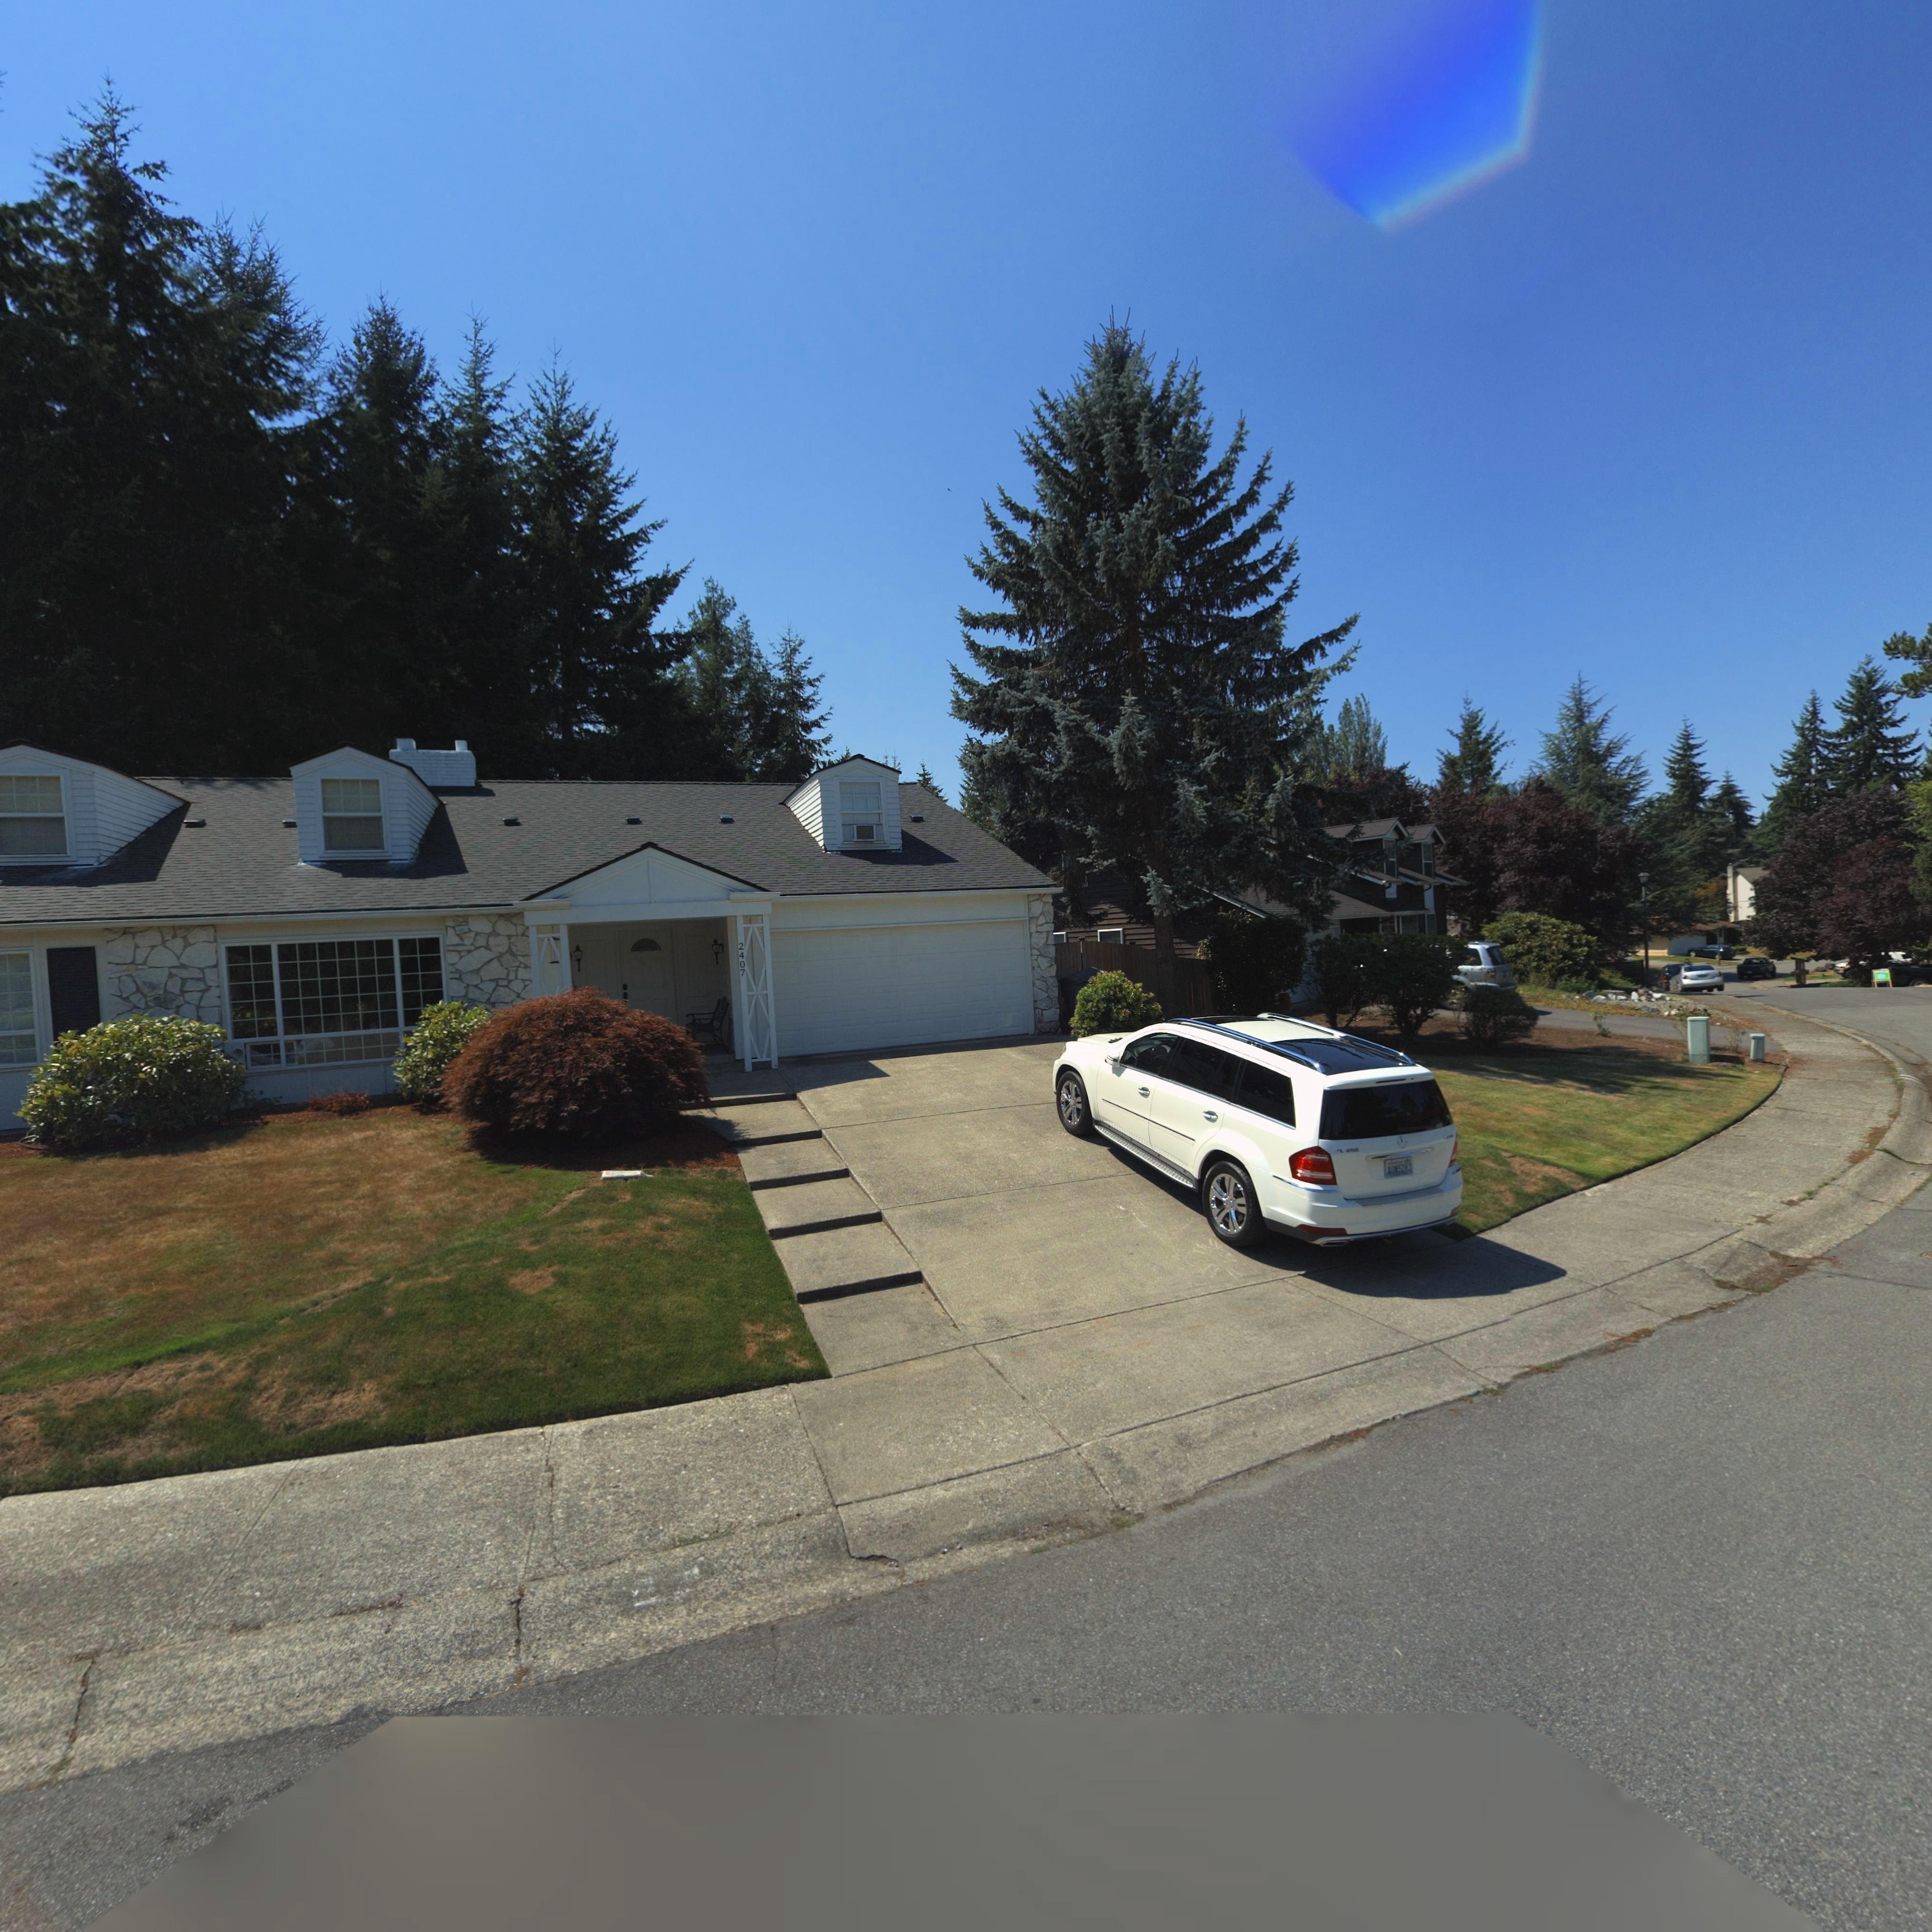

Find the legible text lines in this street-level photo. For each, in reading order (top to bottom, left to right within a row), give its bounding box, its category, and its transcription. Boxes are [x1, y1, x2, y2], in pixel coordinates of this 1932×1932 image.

[737, 941, 746, 978] StreetNumber: 2407